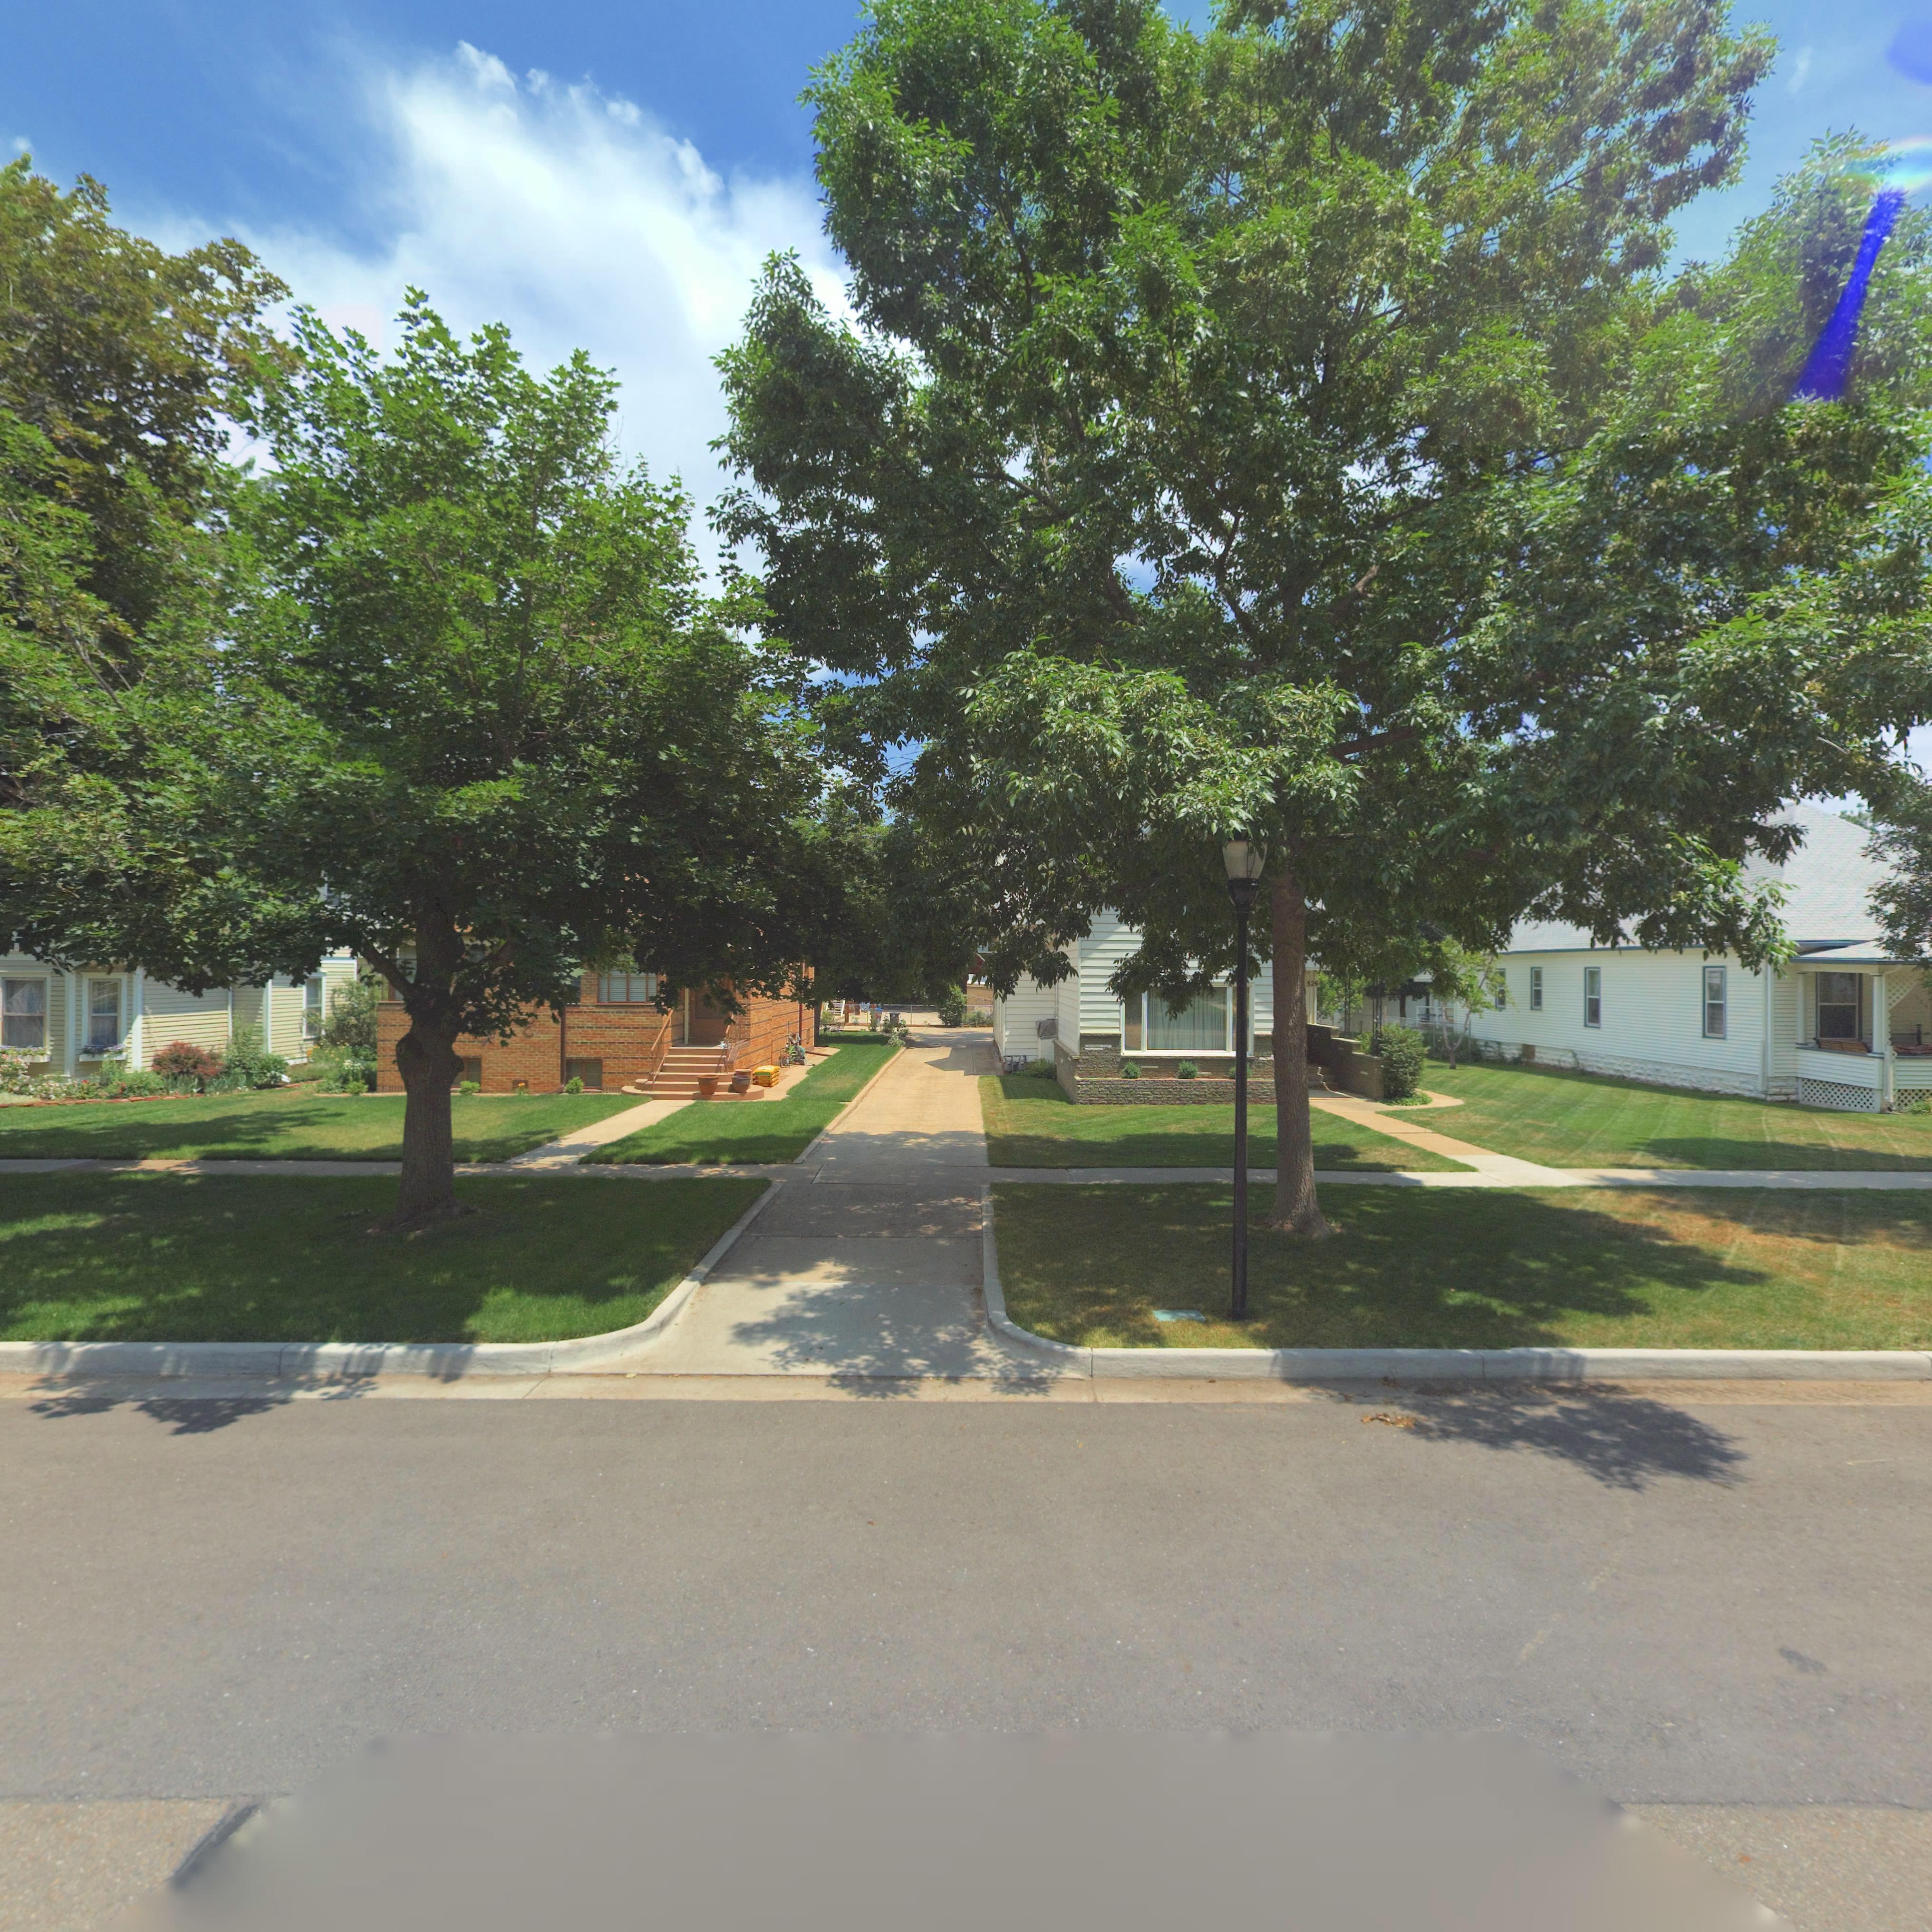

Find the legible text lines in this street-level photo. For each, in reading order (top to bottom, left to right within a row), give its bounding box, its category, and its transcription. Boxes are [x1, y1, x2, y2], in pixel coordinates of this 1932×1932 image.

[1307, 981, 1318, 986] StreetNumber: 526